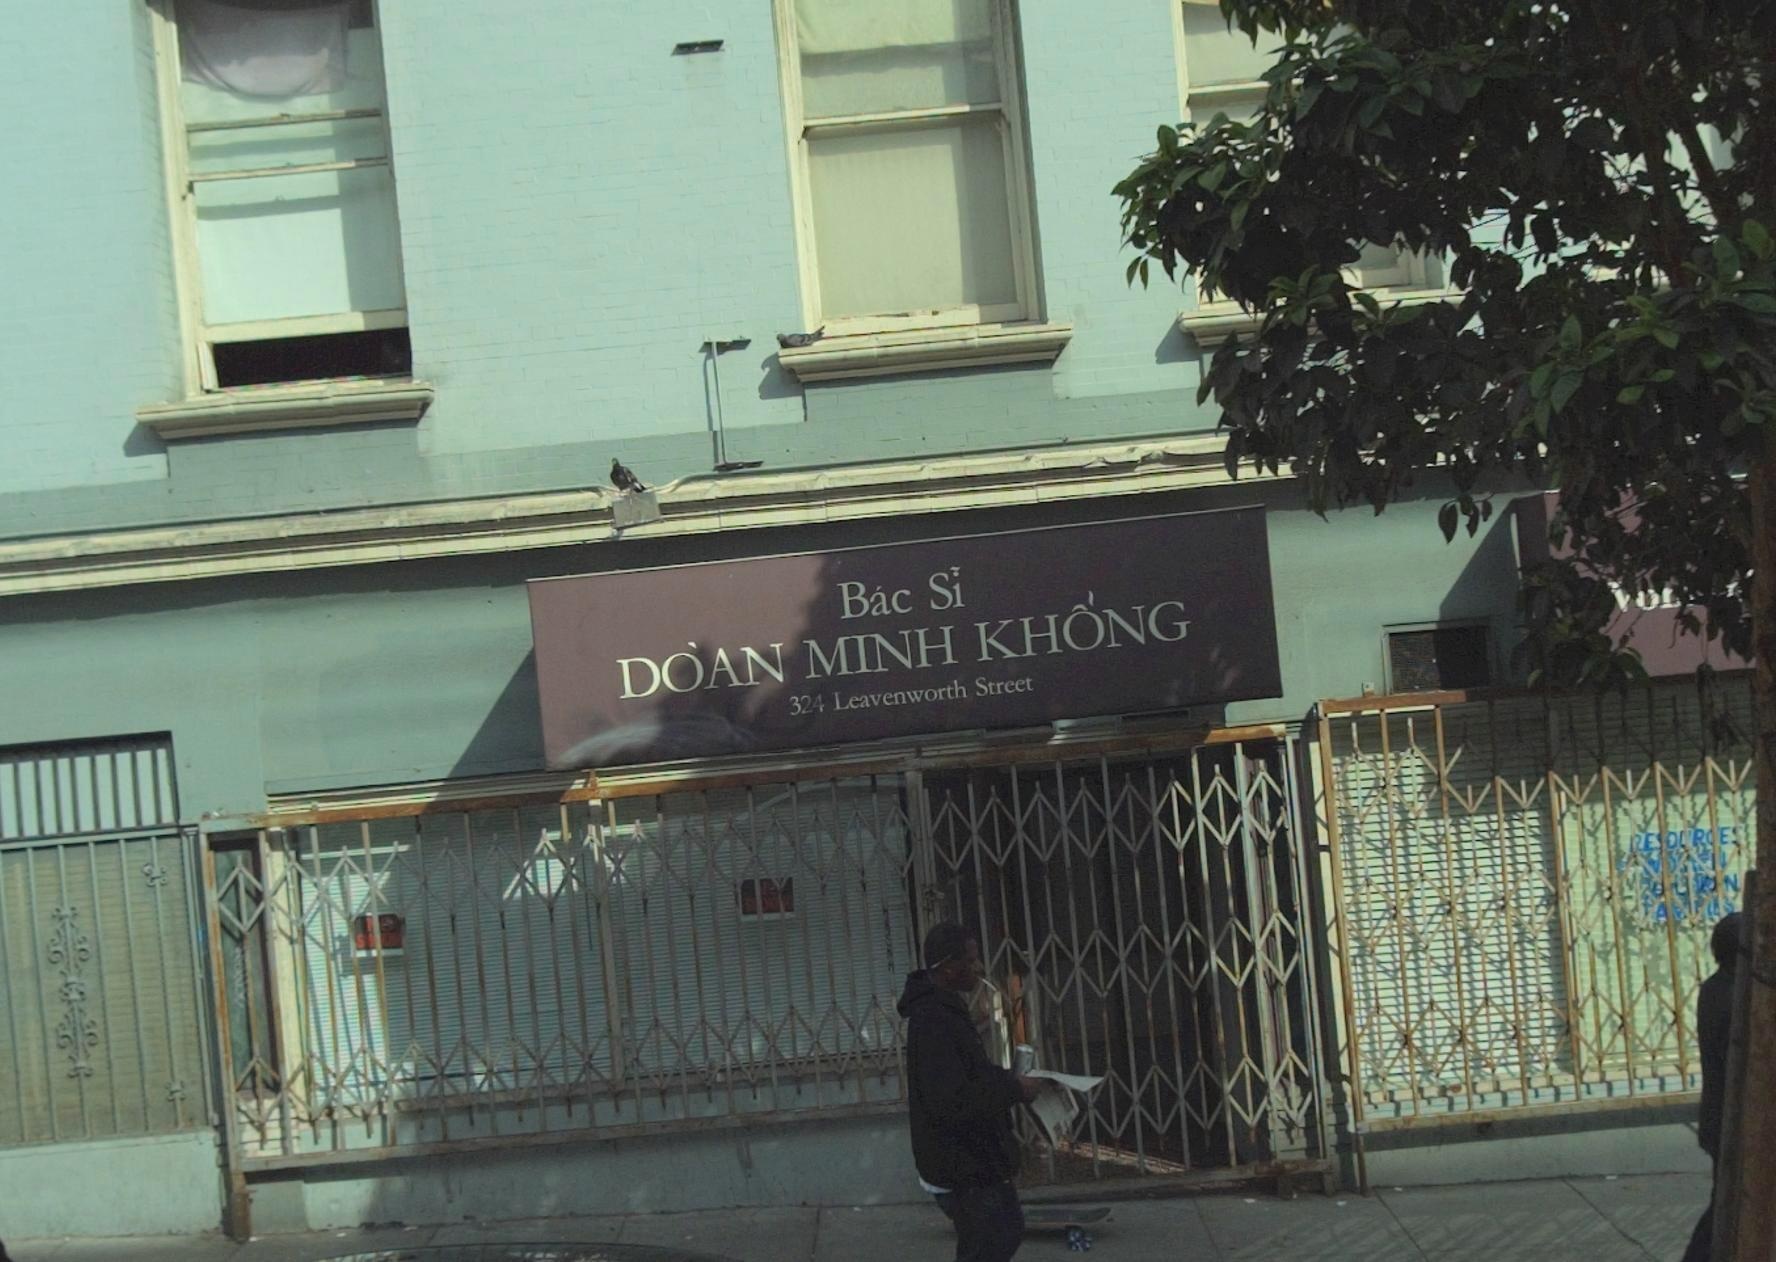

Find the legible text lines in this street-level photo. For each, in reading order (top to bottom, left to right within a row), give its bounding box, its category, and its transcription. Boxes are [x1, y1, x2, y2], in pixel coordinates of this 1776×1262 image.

[830, 569, 972, 626] BusinessName: Bac Si
[612, 596, 1194, 703] BusinessName: DOAN MINH KHONG
[787, 690, 828, 719] StreetNumber: 324
[829, 673, 1039, 714] StreetName: Leavenworth Street
[1640, 822, 1734, 856] None: E*O*R*E
[353, 931, 367, 952] None: S